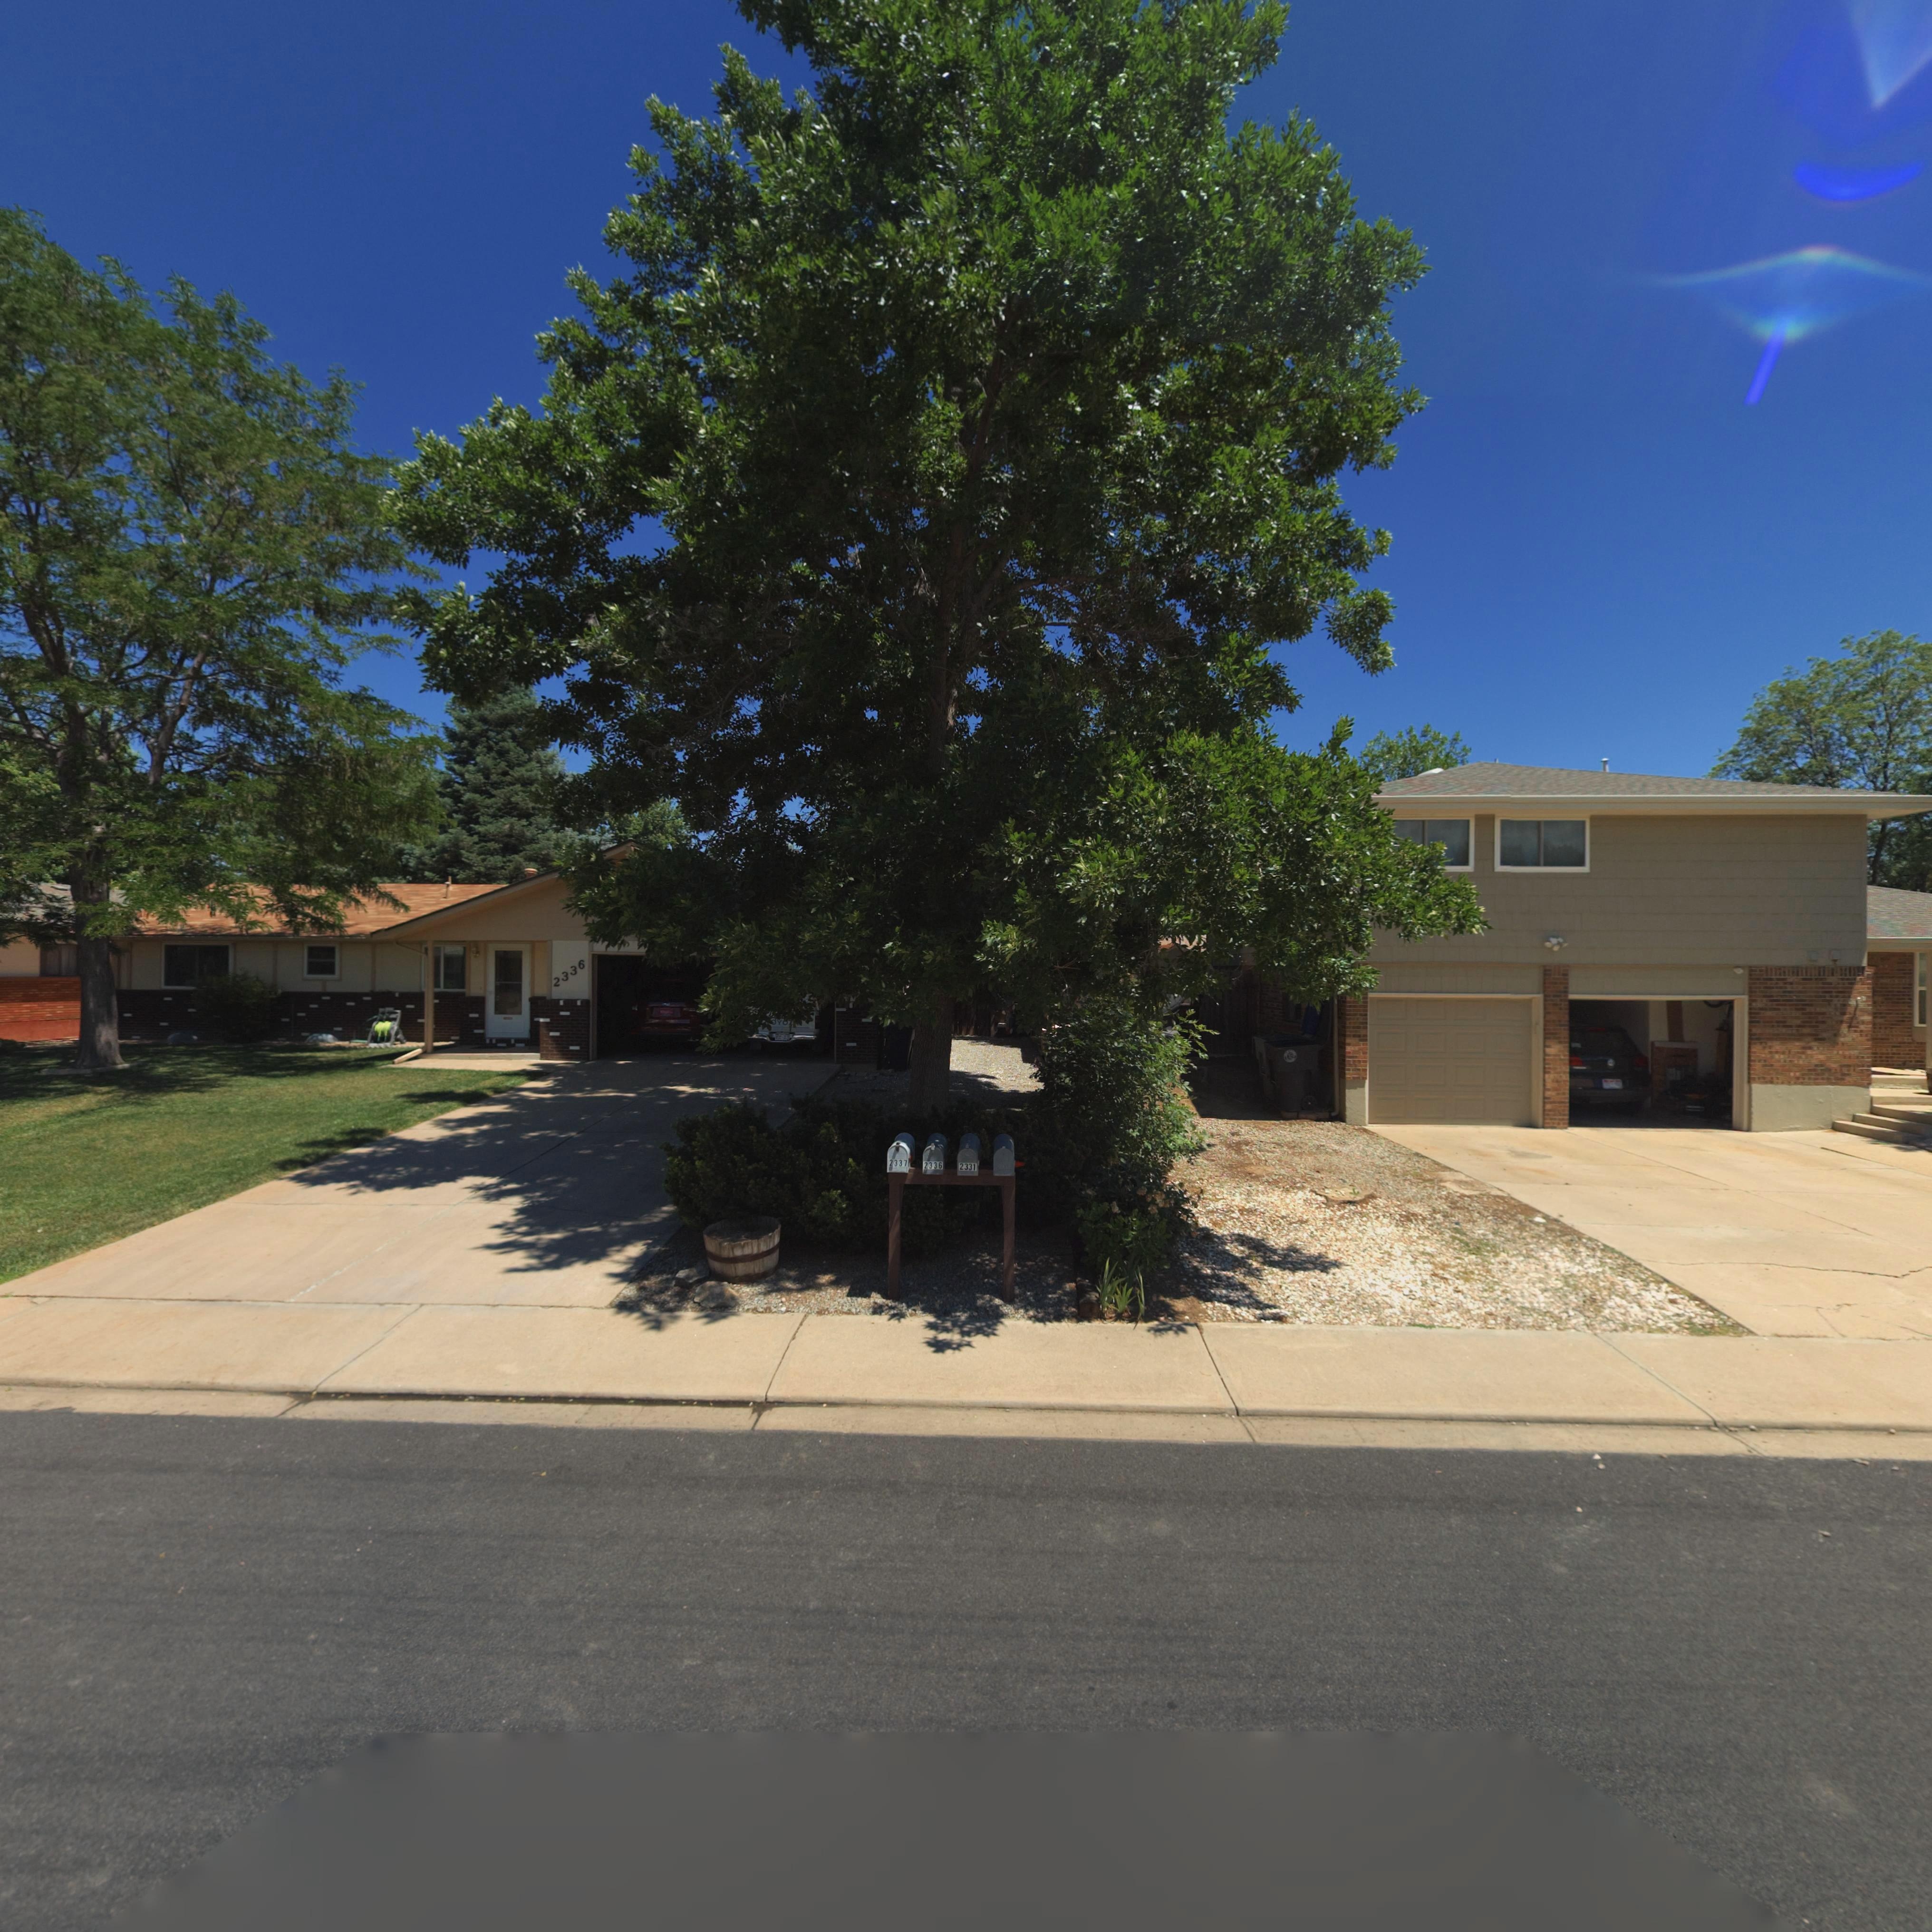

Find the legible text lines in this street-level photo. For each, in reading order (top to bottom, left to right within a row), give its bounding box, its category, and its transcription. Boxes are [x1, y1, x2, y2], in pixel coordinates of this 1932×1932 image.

[553, 959, 585, 987] StreetNumber: 2336
[889, 1159, 907, 1167] StreetNumber: 2337
[924, 1161, 942, 1169] StreetNumber: 2336
[959, 1162, 976, 1171] StreetNumber: 2331